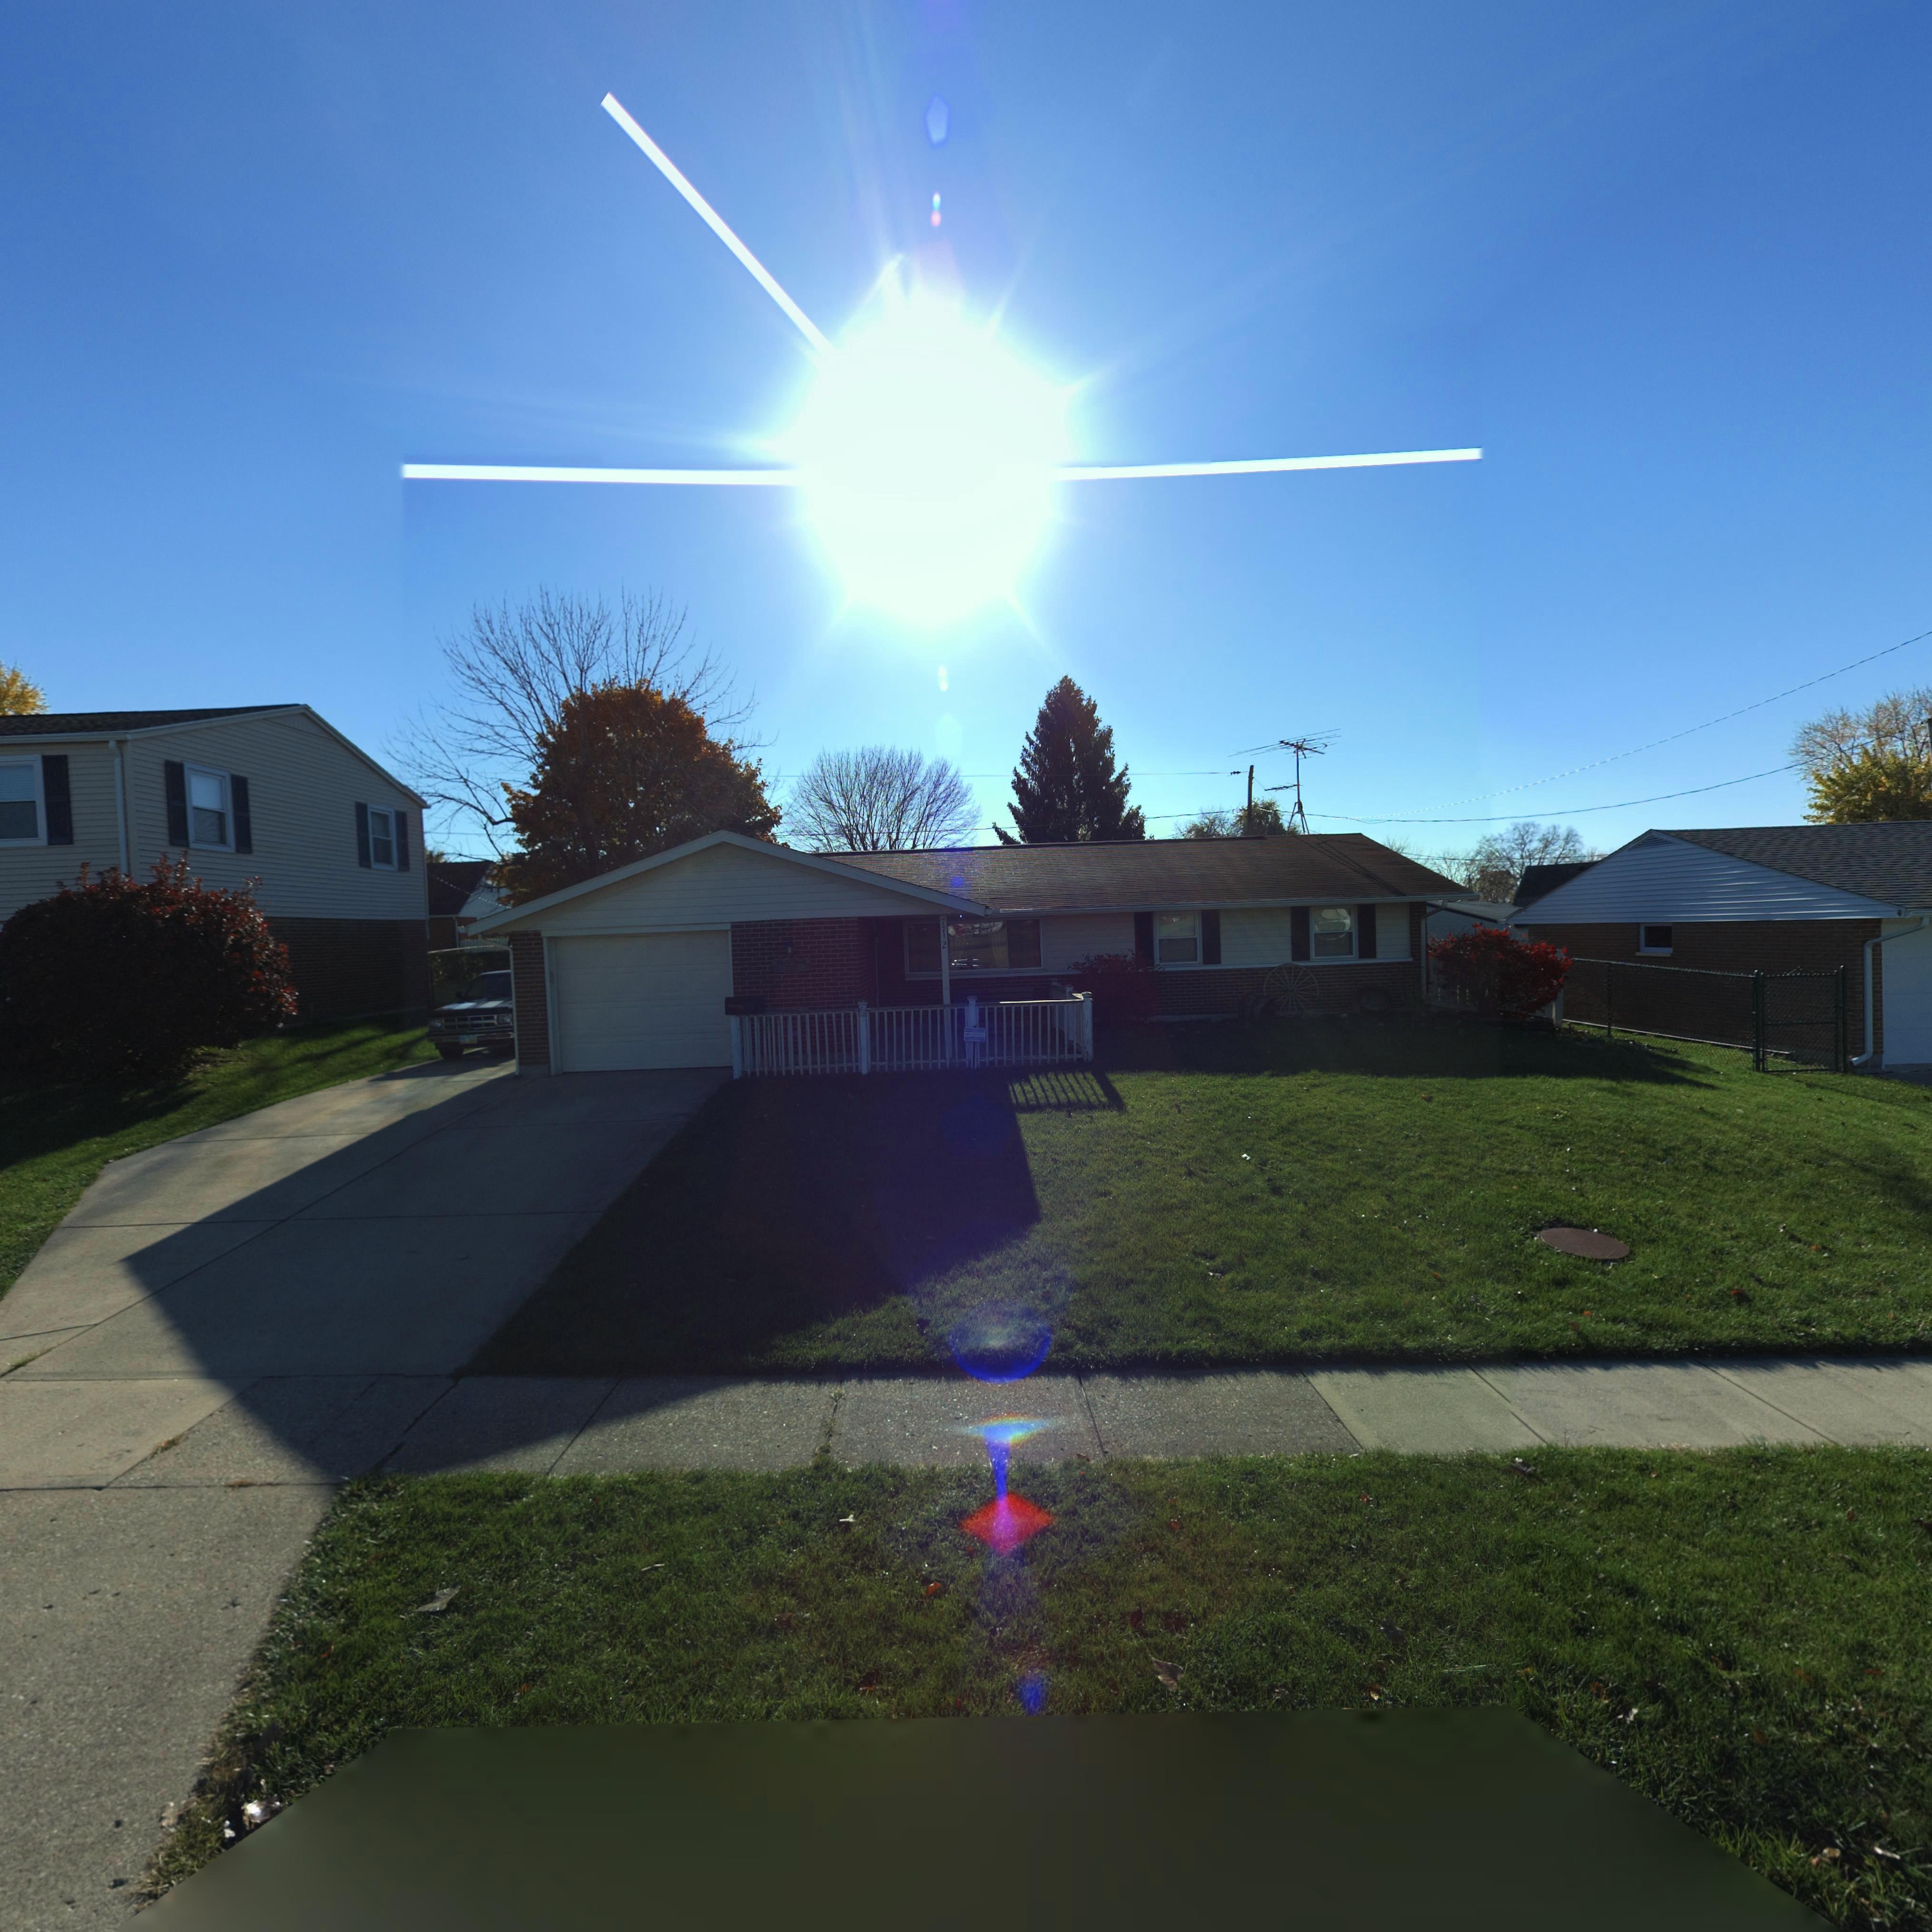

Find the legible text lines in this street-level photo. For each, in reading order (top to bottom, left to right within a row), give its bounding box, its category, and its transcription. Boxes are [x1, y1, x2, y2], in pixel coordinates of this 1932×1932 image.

[940, 917, 948, 950] StreetNumber: 7712